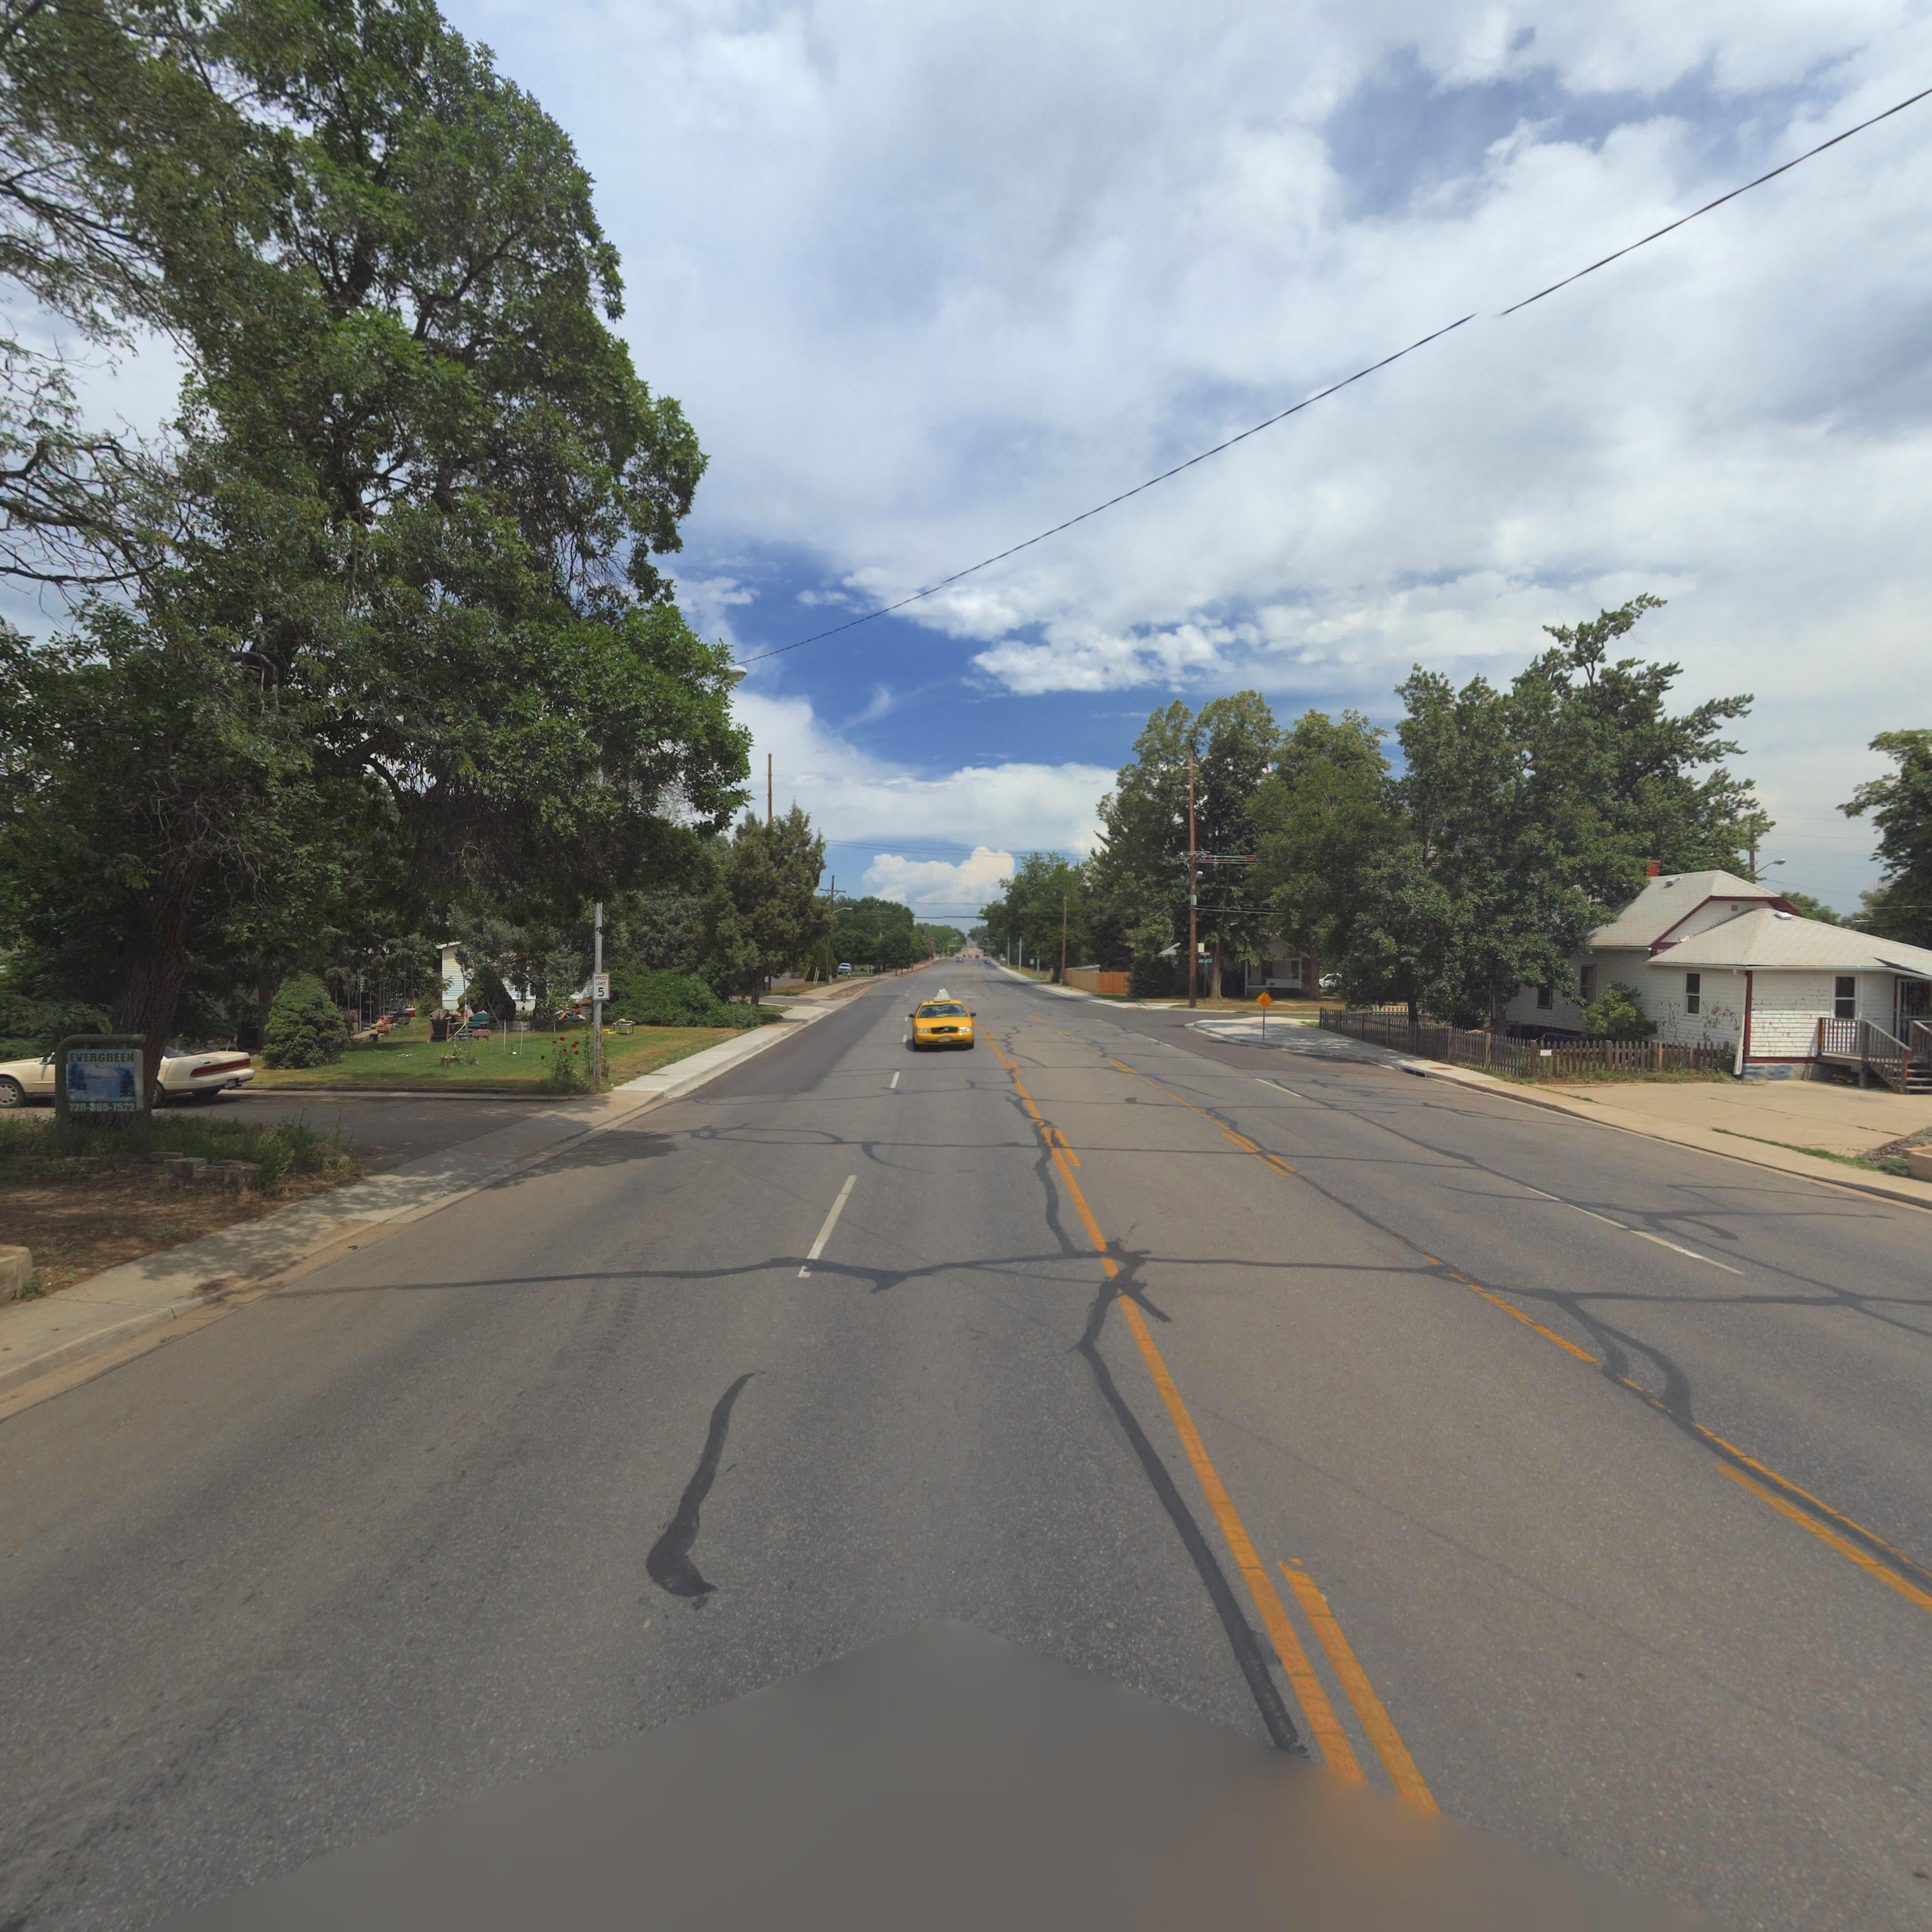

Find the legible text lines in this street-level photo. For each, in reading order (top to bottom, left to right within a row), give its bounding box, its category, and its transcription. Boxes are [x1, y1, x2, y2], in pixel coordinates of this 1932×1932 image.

[68, 1052, 135, 1062] BusinessName: EVERGREEN